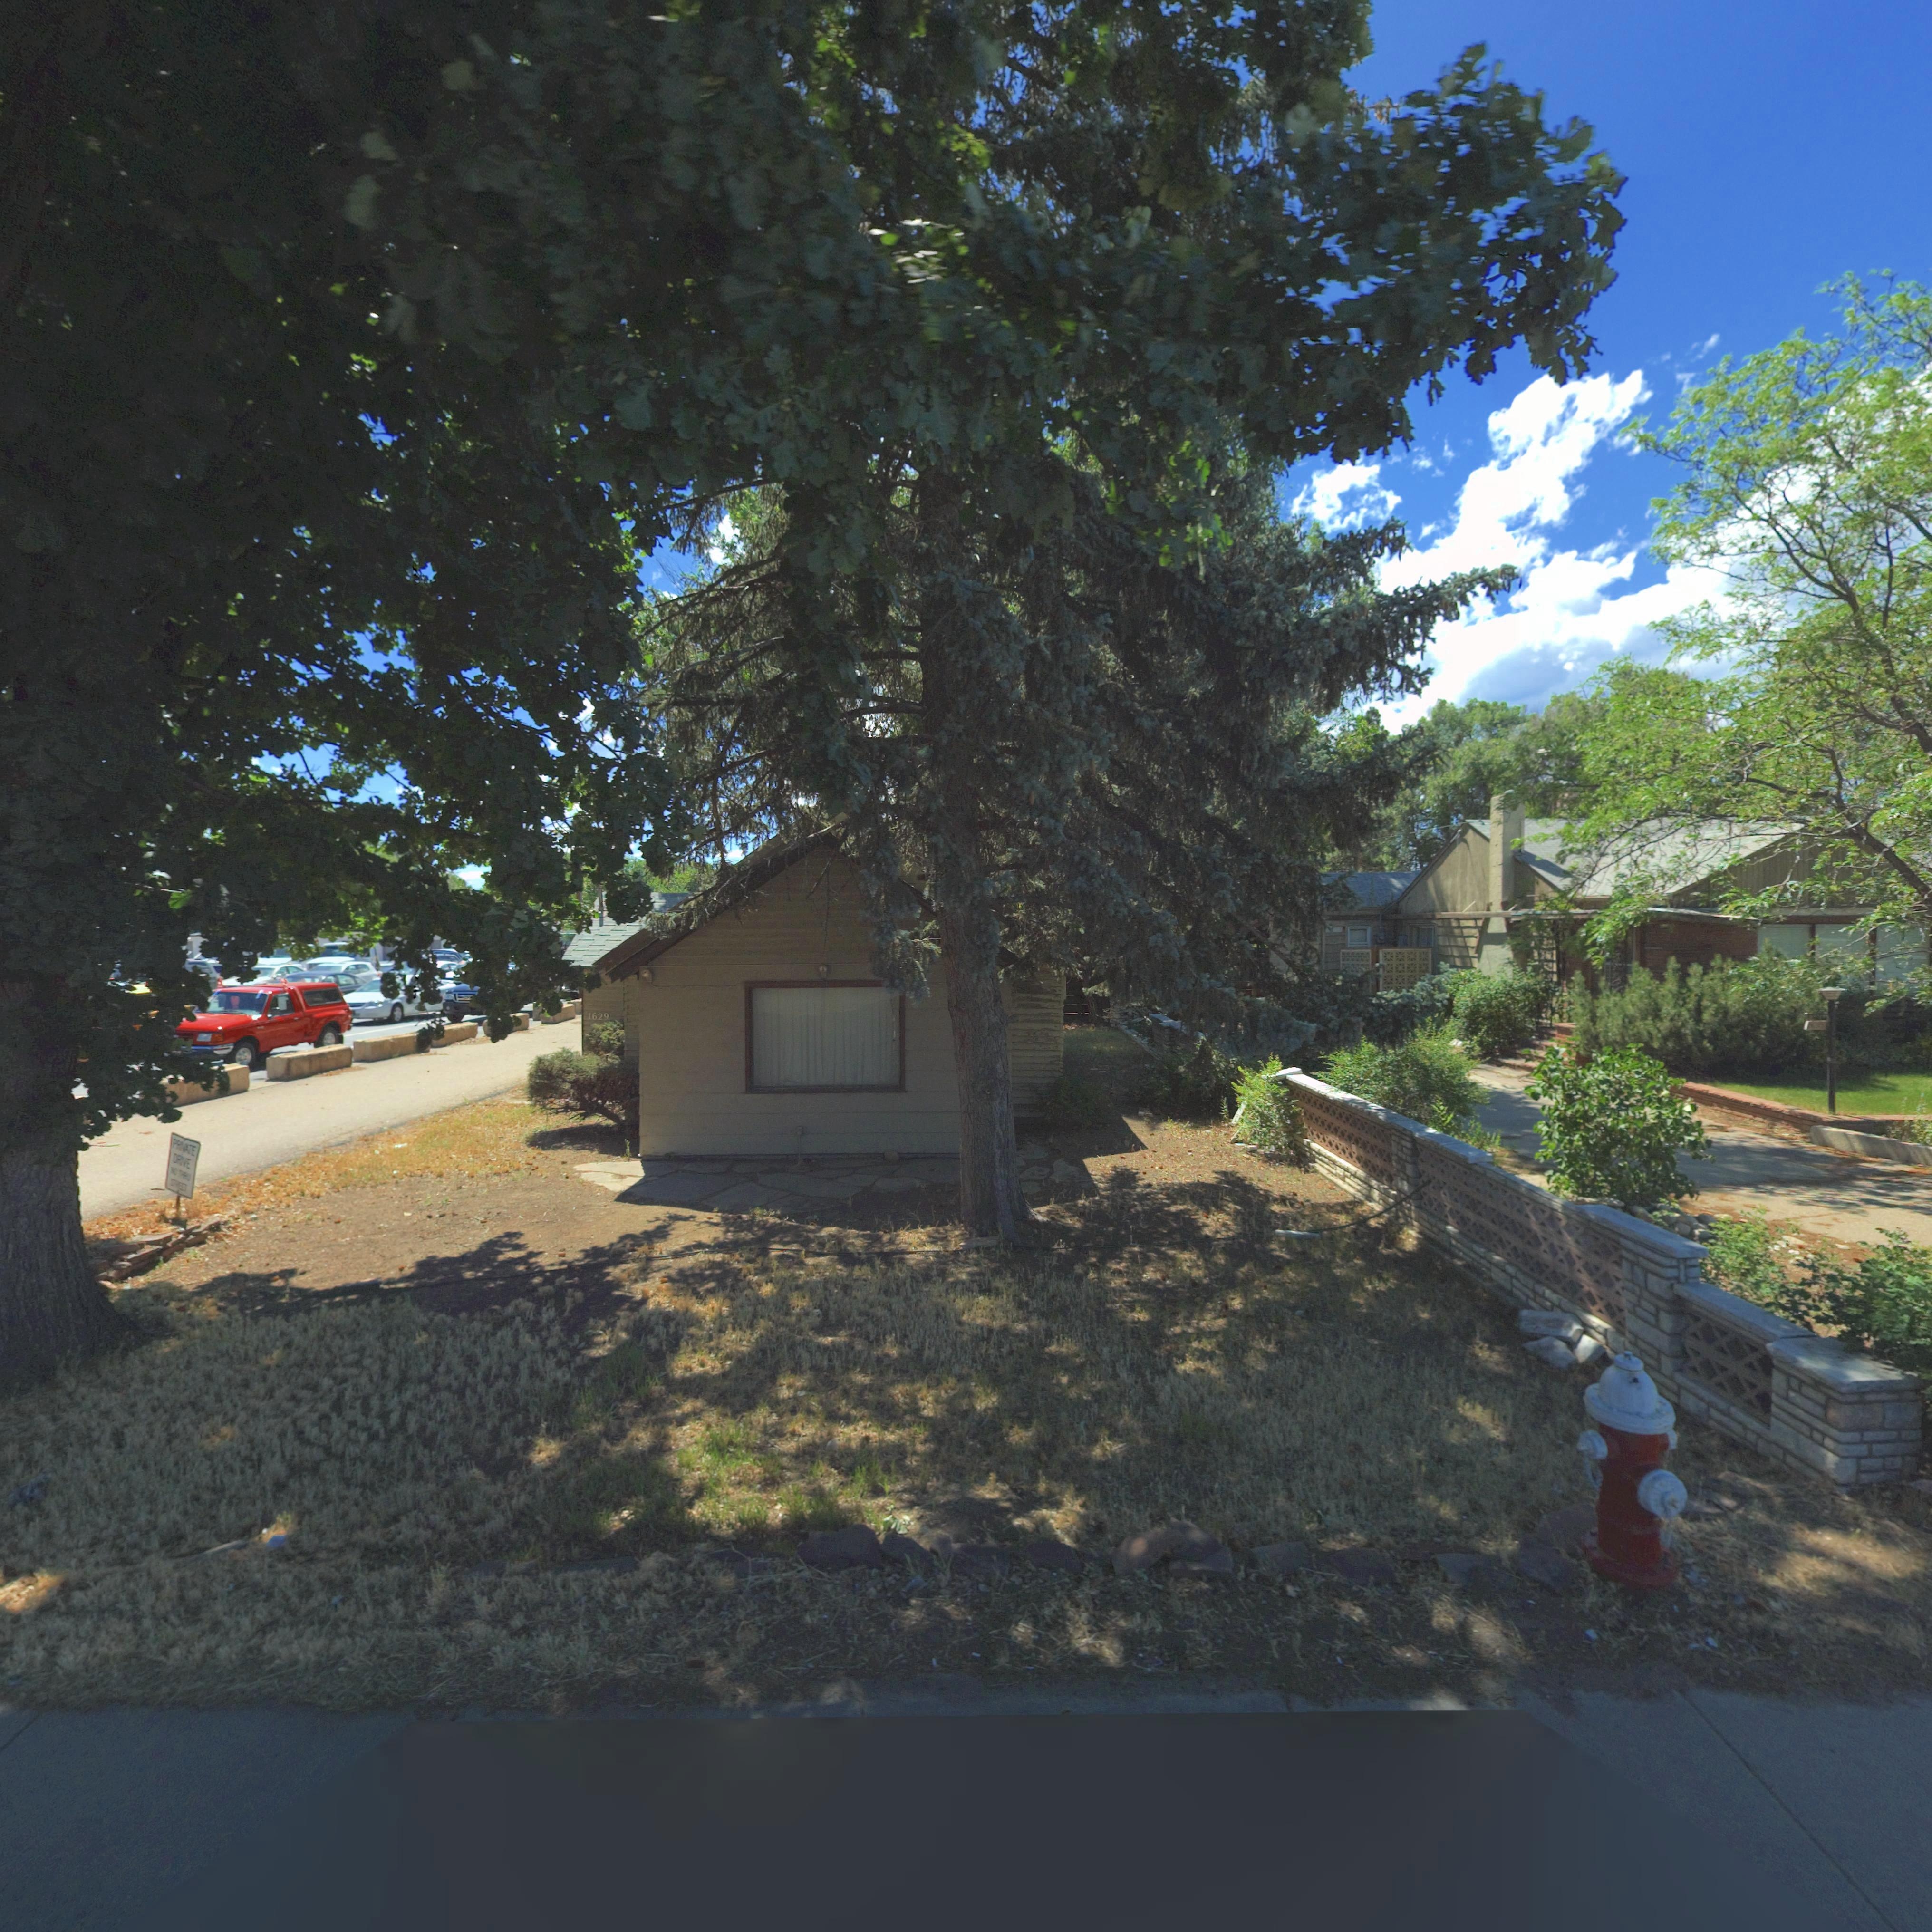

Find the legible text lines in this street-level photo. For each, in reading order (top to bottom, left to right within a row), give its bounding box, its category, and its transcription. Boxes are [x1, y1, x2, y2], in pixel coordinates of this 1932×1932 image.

[588, 1012, 609, 1020] StreetNumber: 1629